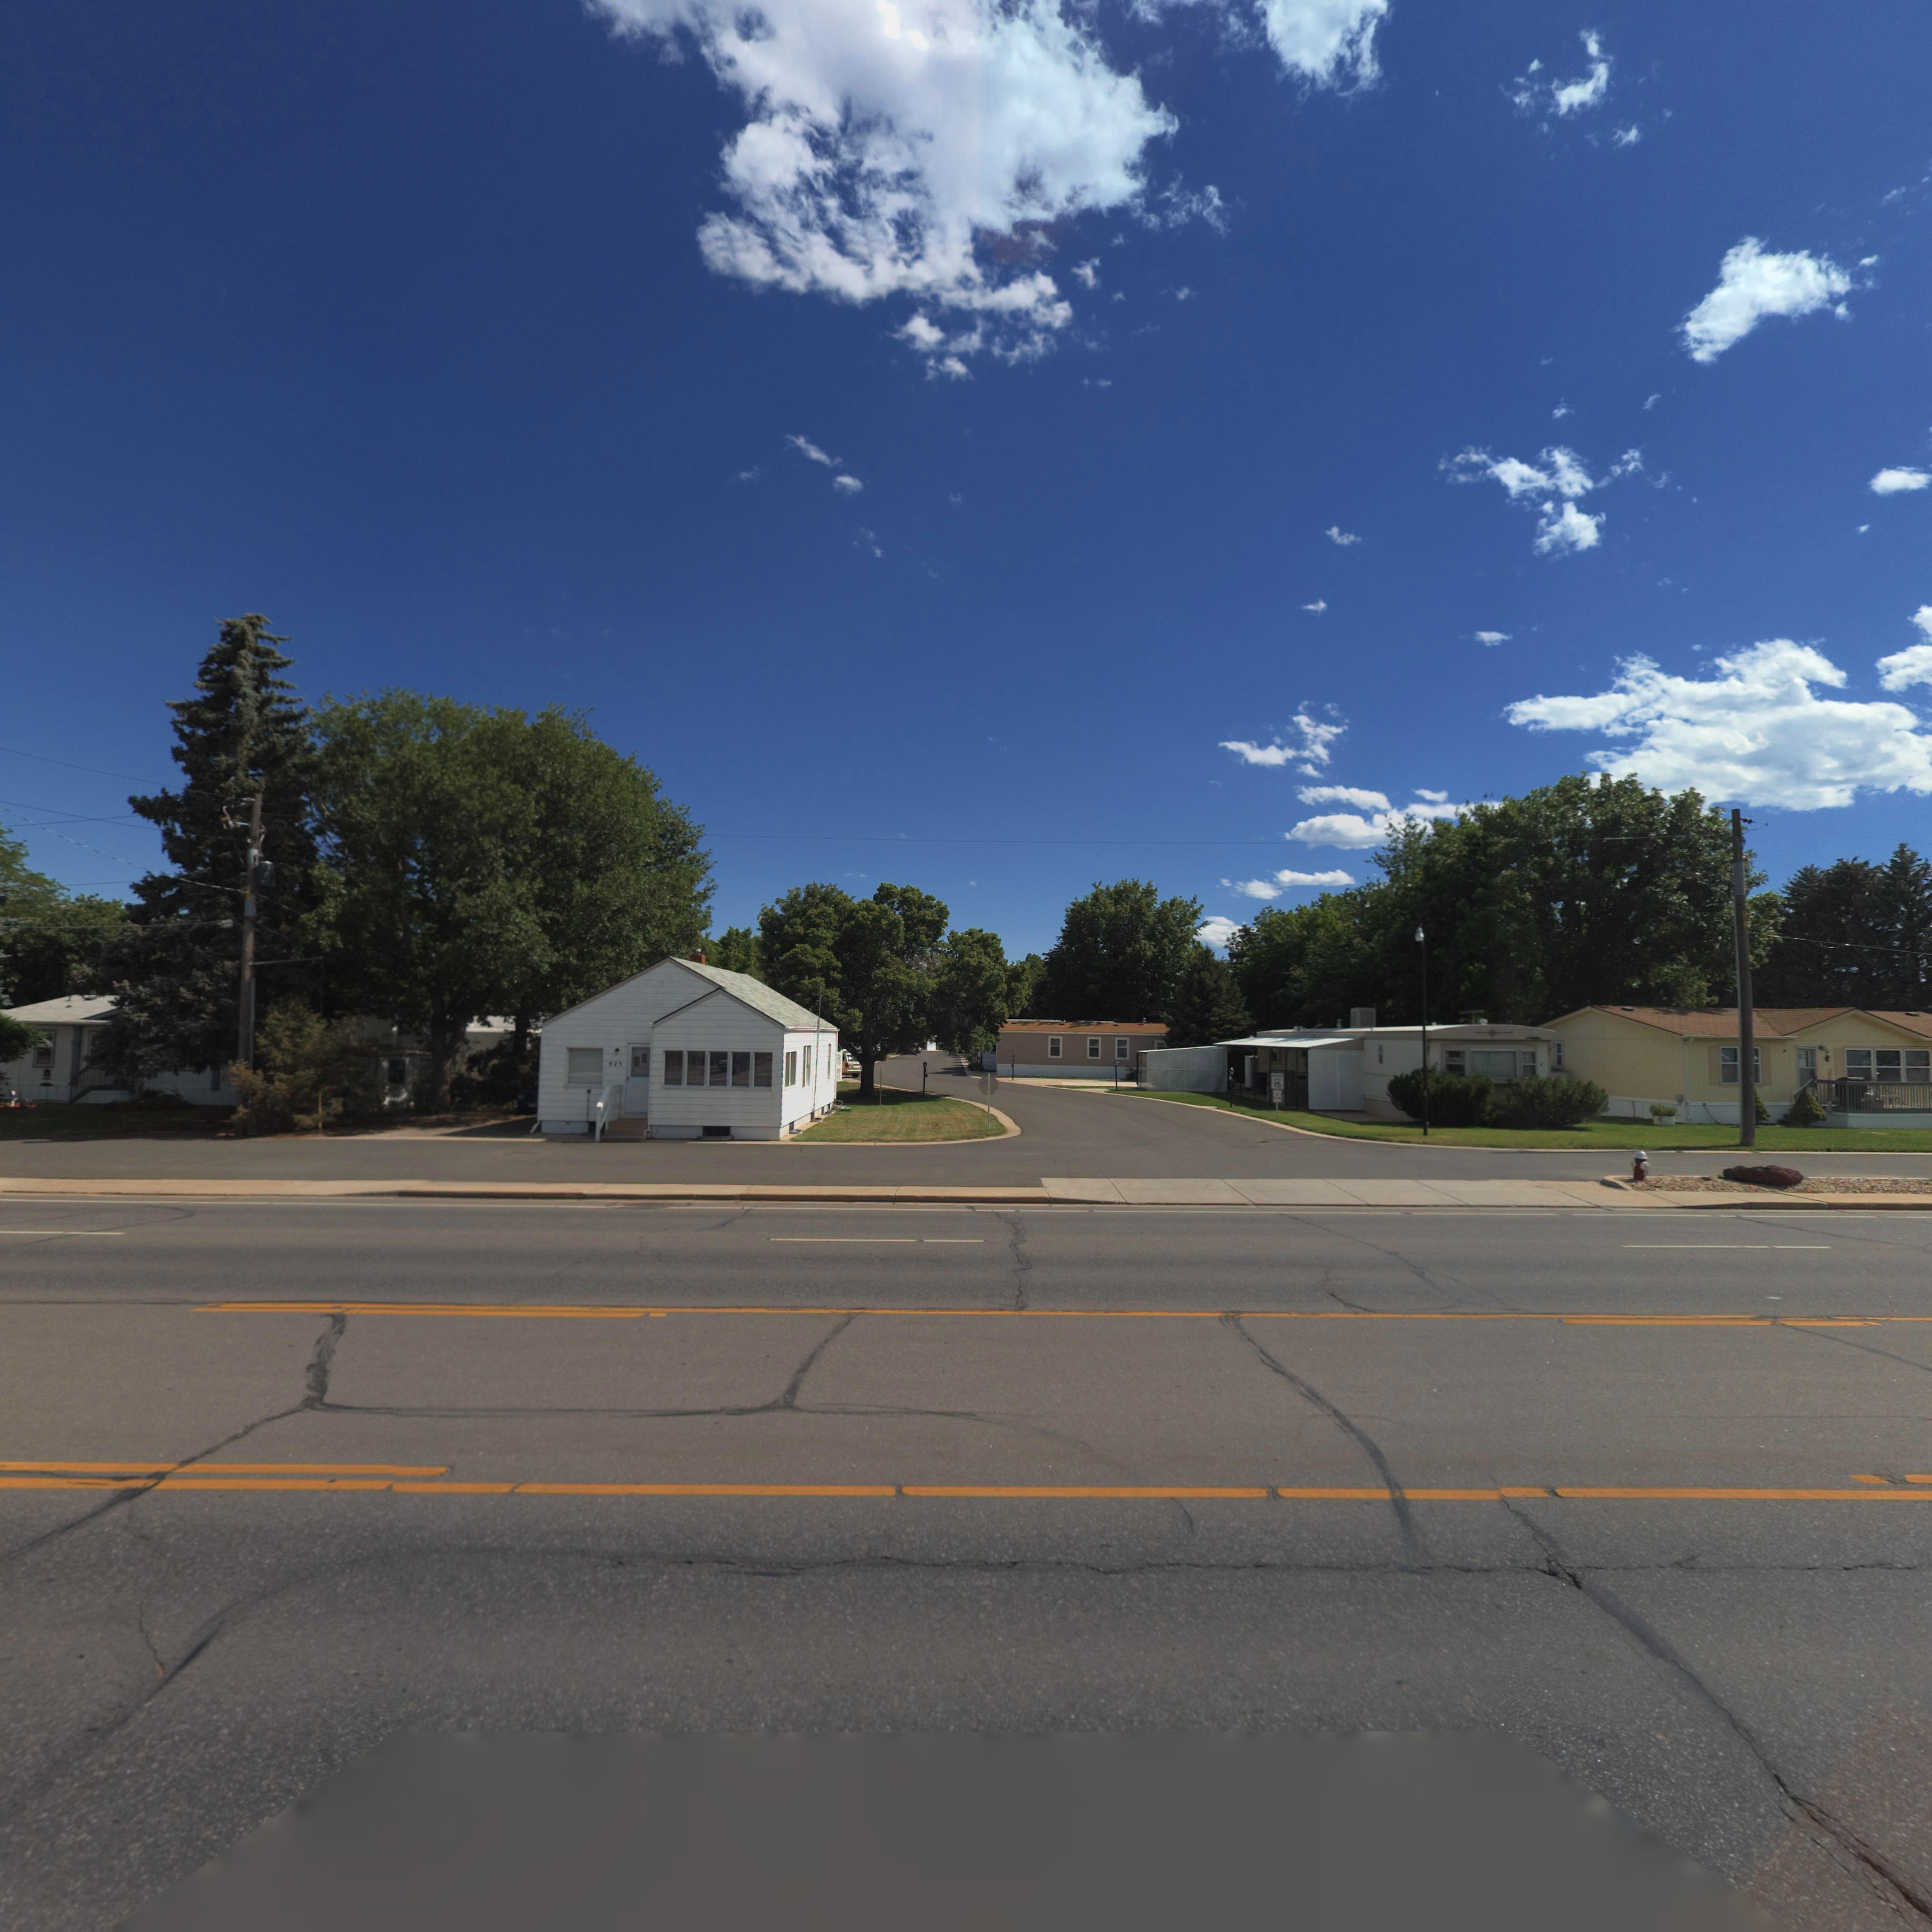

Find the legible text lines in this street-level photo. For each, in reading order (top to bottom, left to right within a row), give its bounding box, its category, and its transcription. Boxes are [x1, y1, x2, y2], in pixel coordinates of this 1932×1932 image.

[608, 1061, 622, 1067] StreetNumber: 925